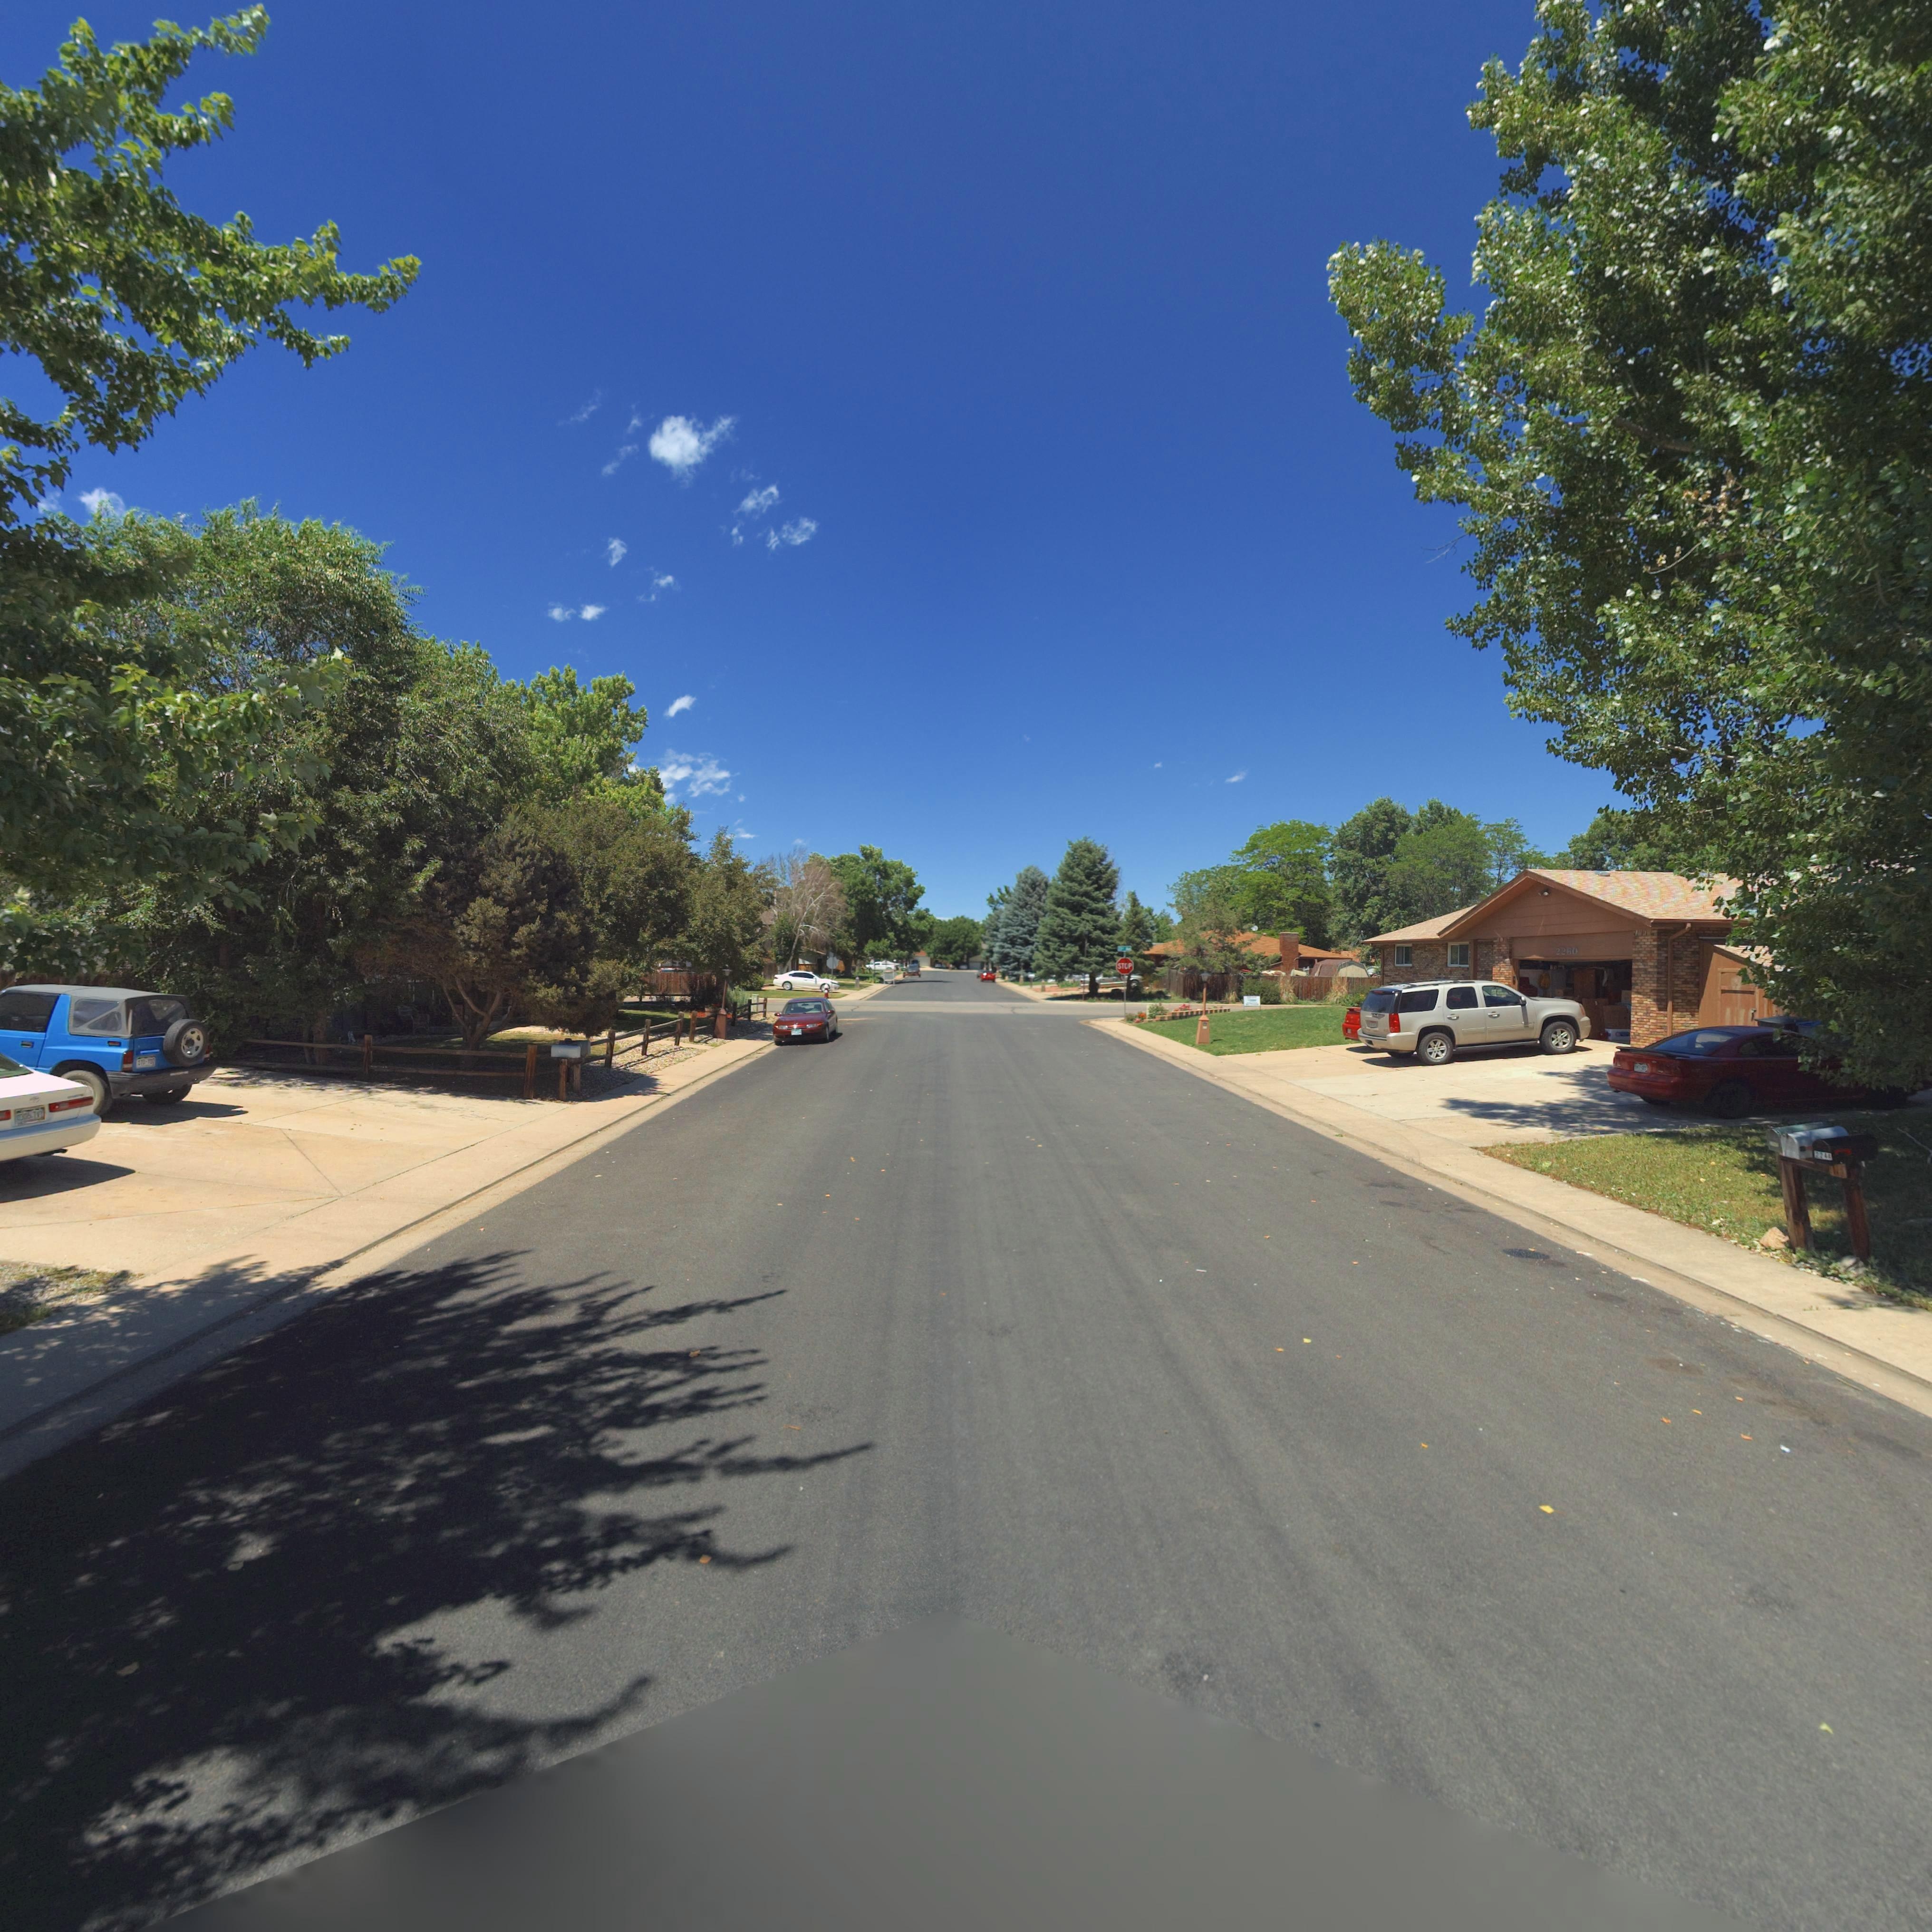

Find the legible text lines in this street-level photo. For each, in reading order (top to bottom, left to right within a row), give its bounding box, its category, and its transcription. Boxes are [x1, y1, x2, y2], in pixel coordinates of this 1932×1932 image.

[1815, 1151, 1831, 1159] StreetNumber: 224*